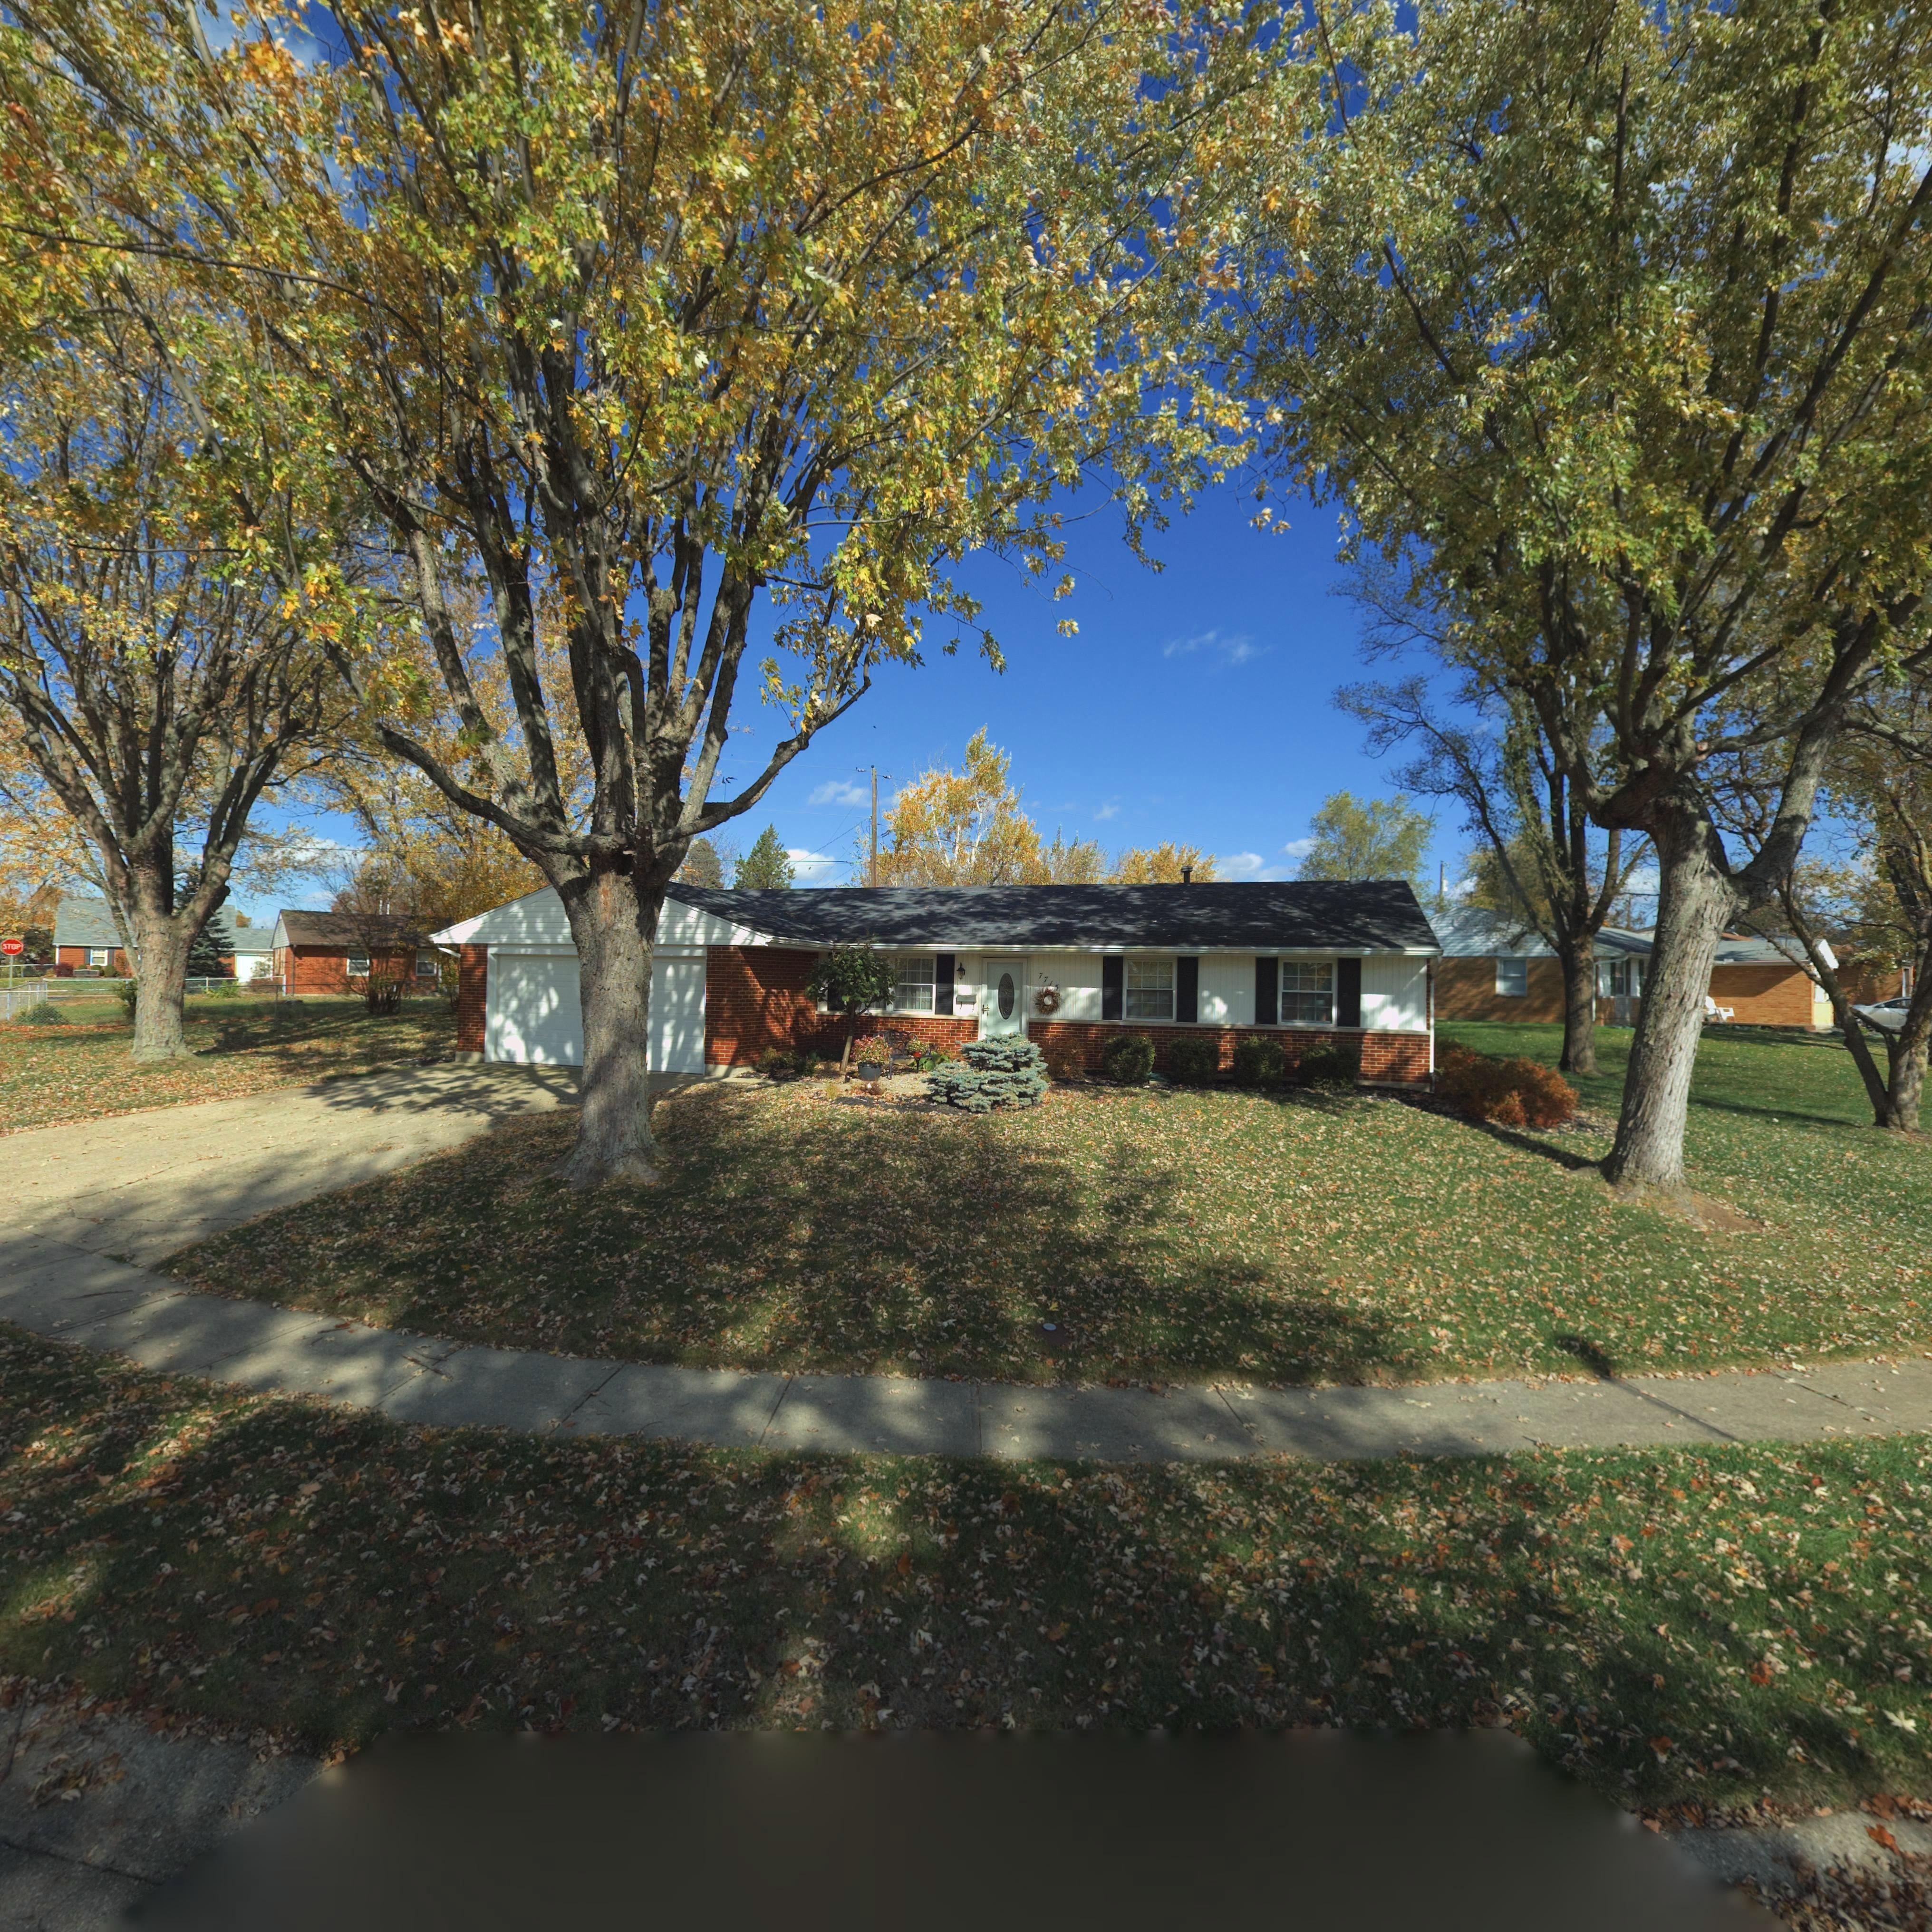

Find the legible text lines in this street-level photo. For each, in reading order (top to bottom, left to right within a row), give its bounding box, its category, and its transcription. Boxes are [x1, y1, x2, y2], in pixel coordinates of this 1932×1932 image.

[1038, 972, 1060, 991] StreetNumber: 7715